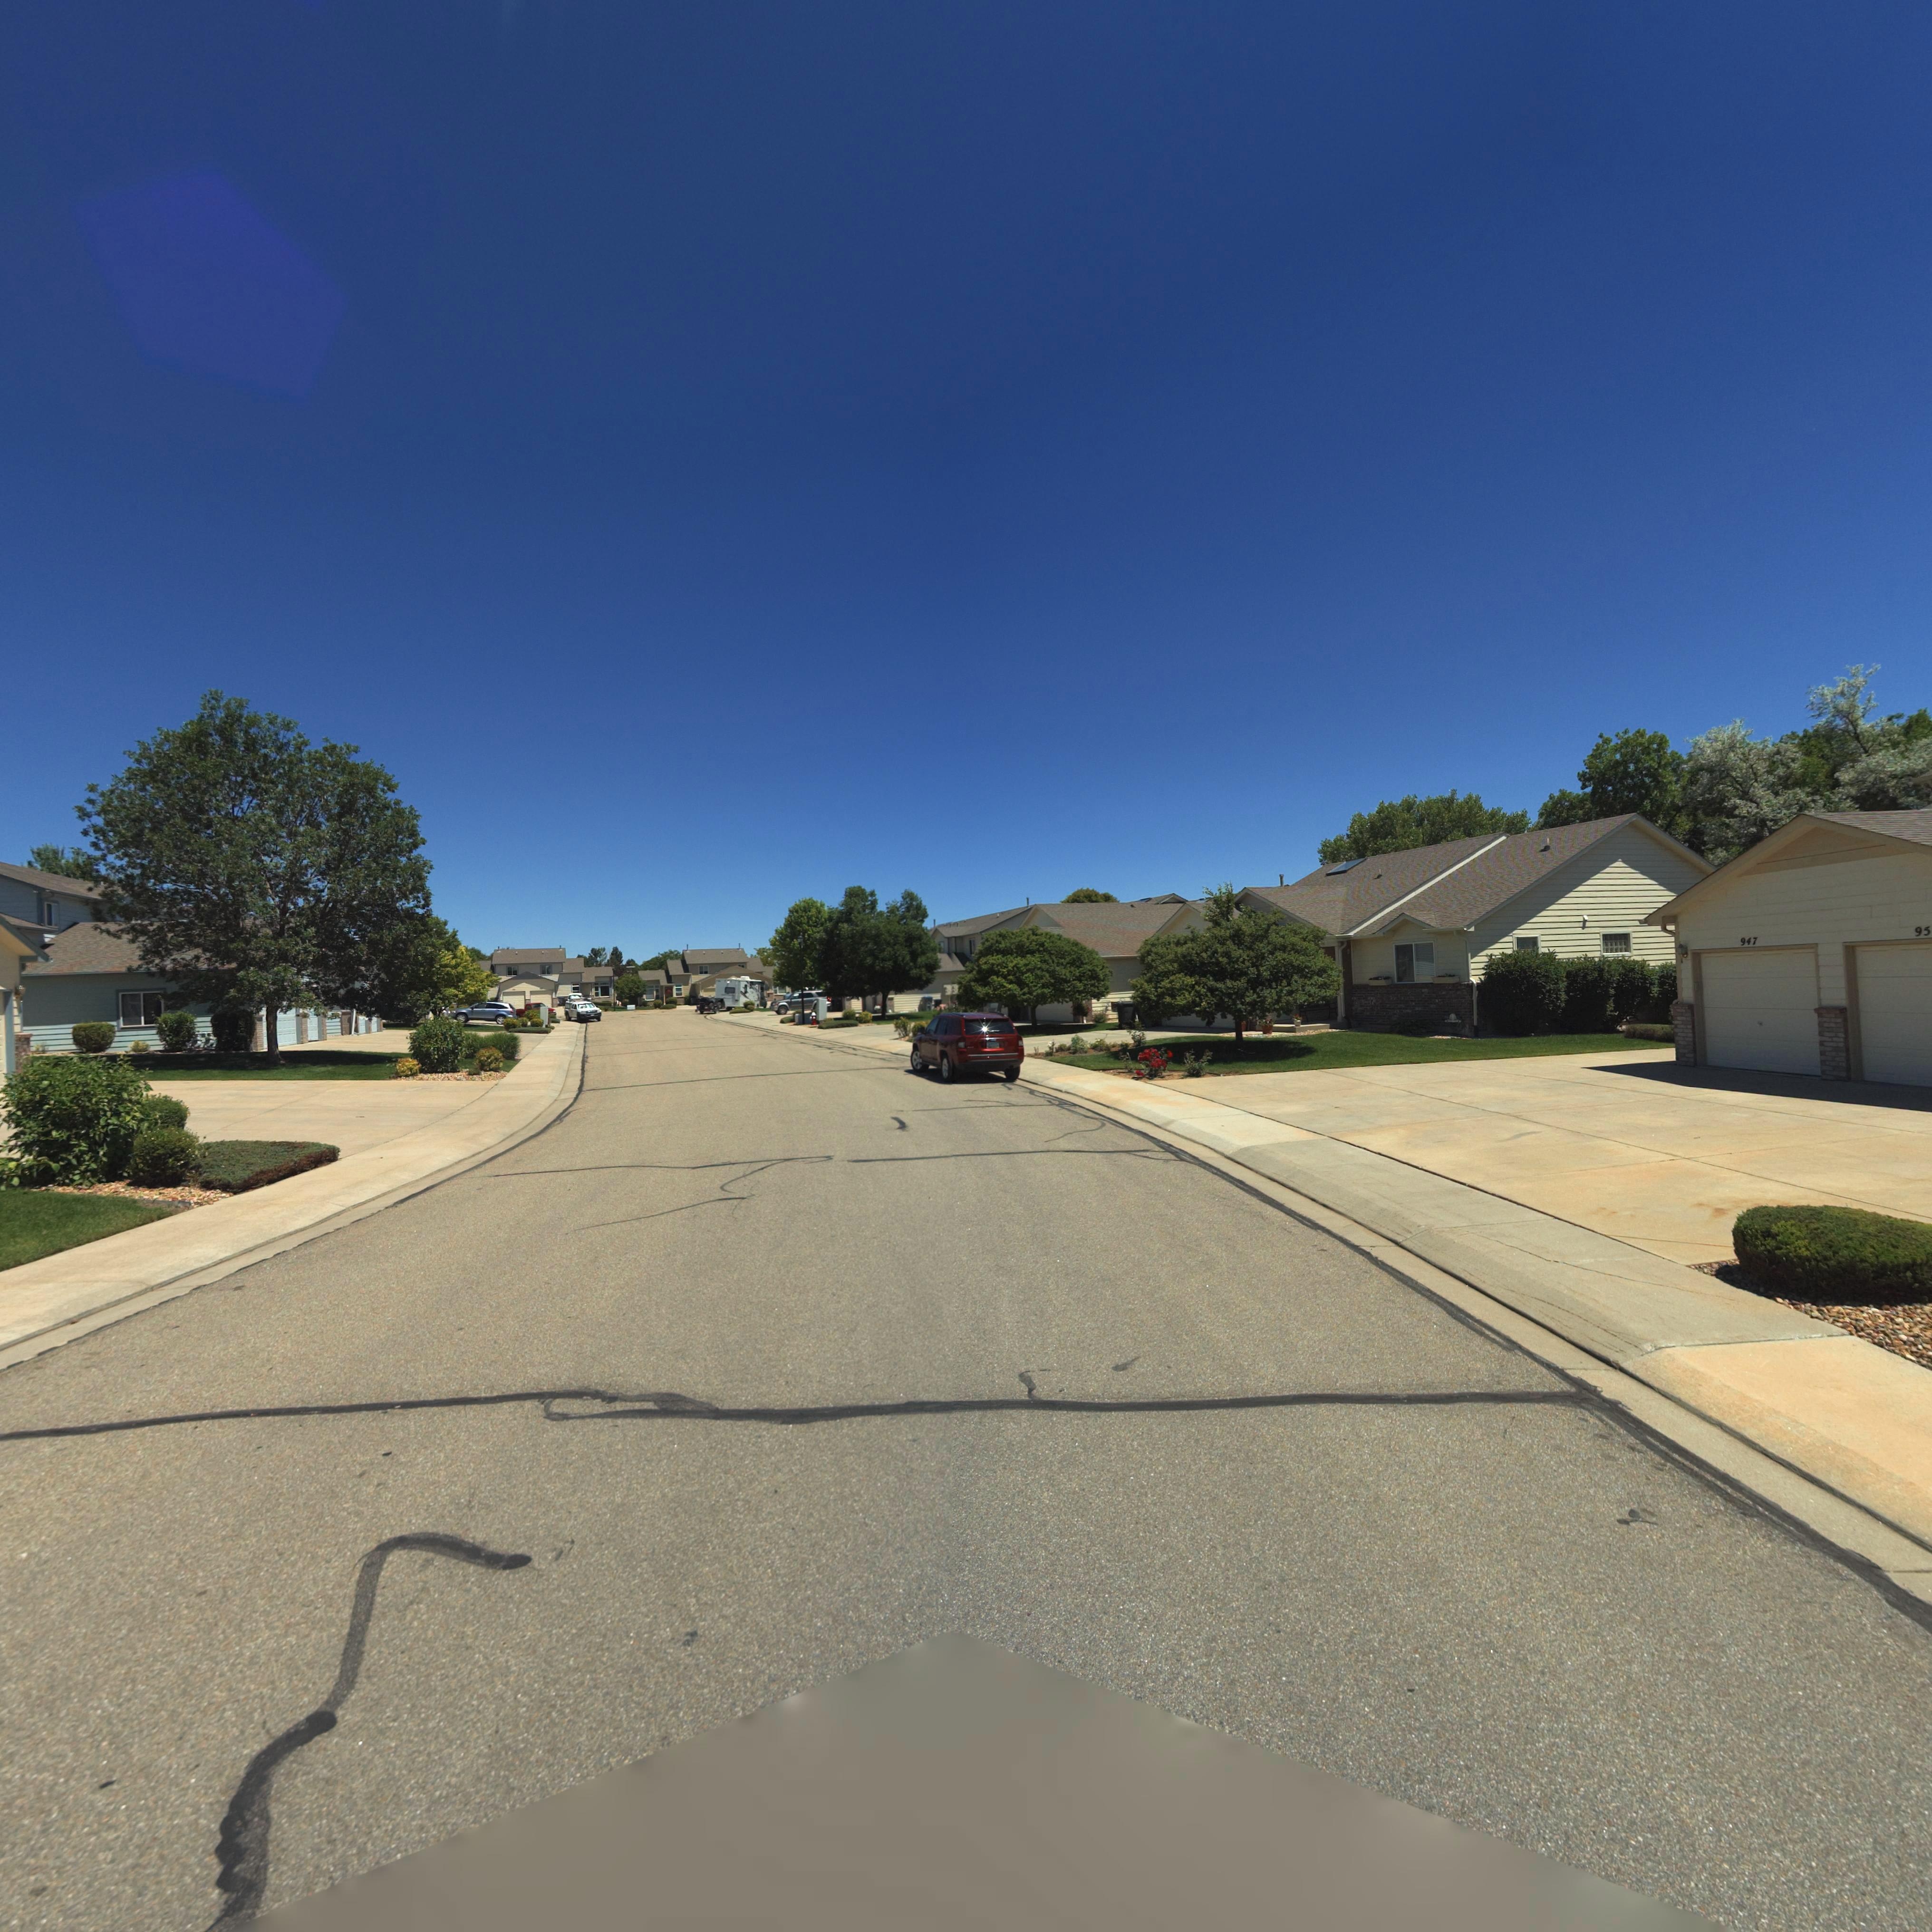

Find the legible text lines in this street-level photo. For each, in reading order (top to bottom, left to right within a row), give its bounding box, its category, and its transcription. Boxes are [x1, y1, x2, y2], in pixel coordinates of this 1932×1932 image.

[1914, 925, 1931, 937] StreetNumber: 95
[1740, 936, 1759, 946] StreetNumber: 947